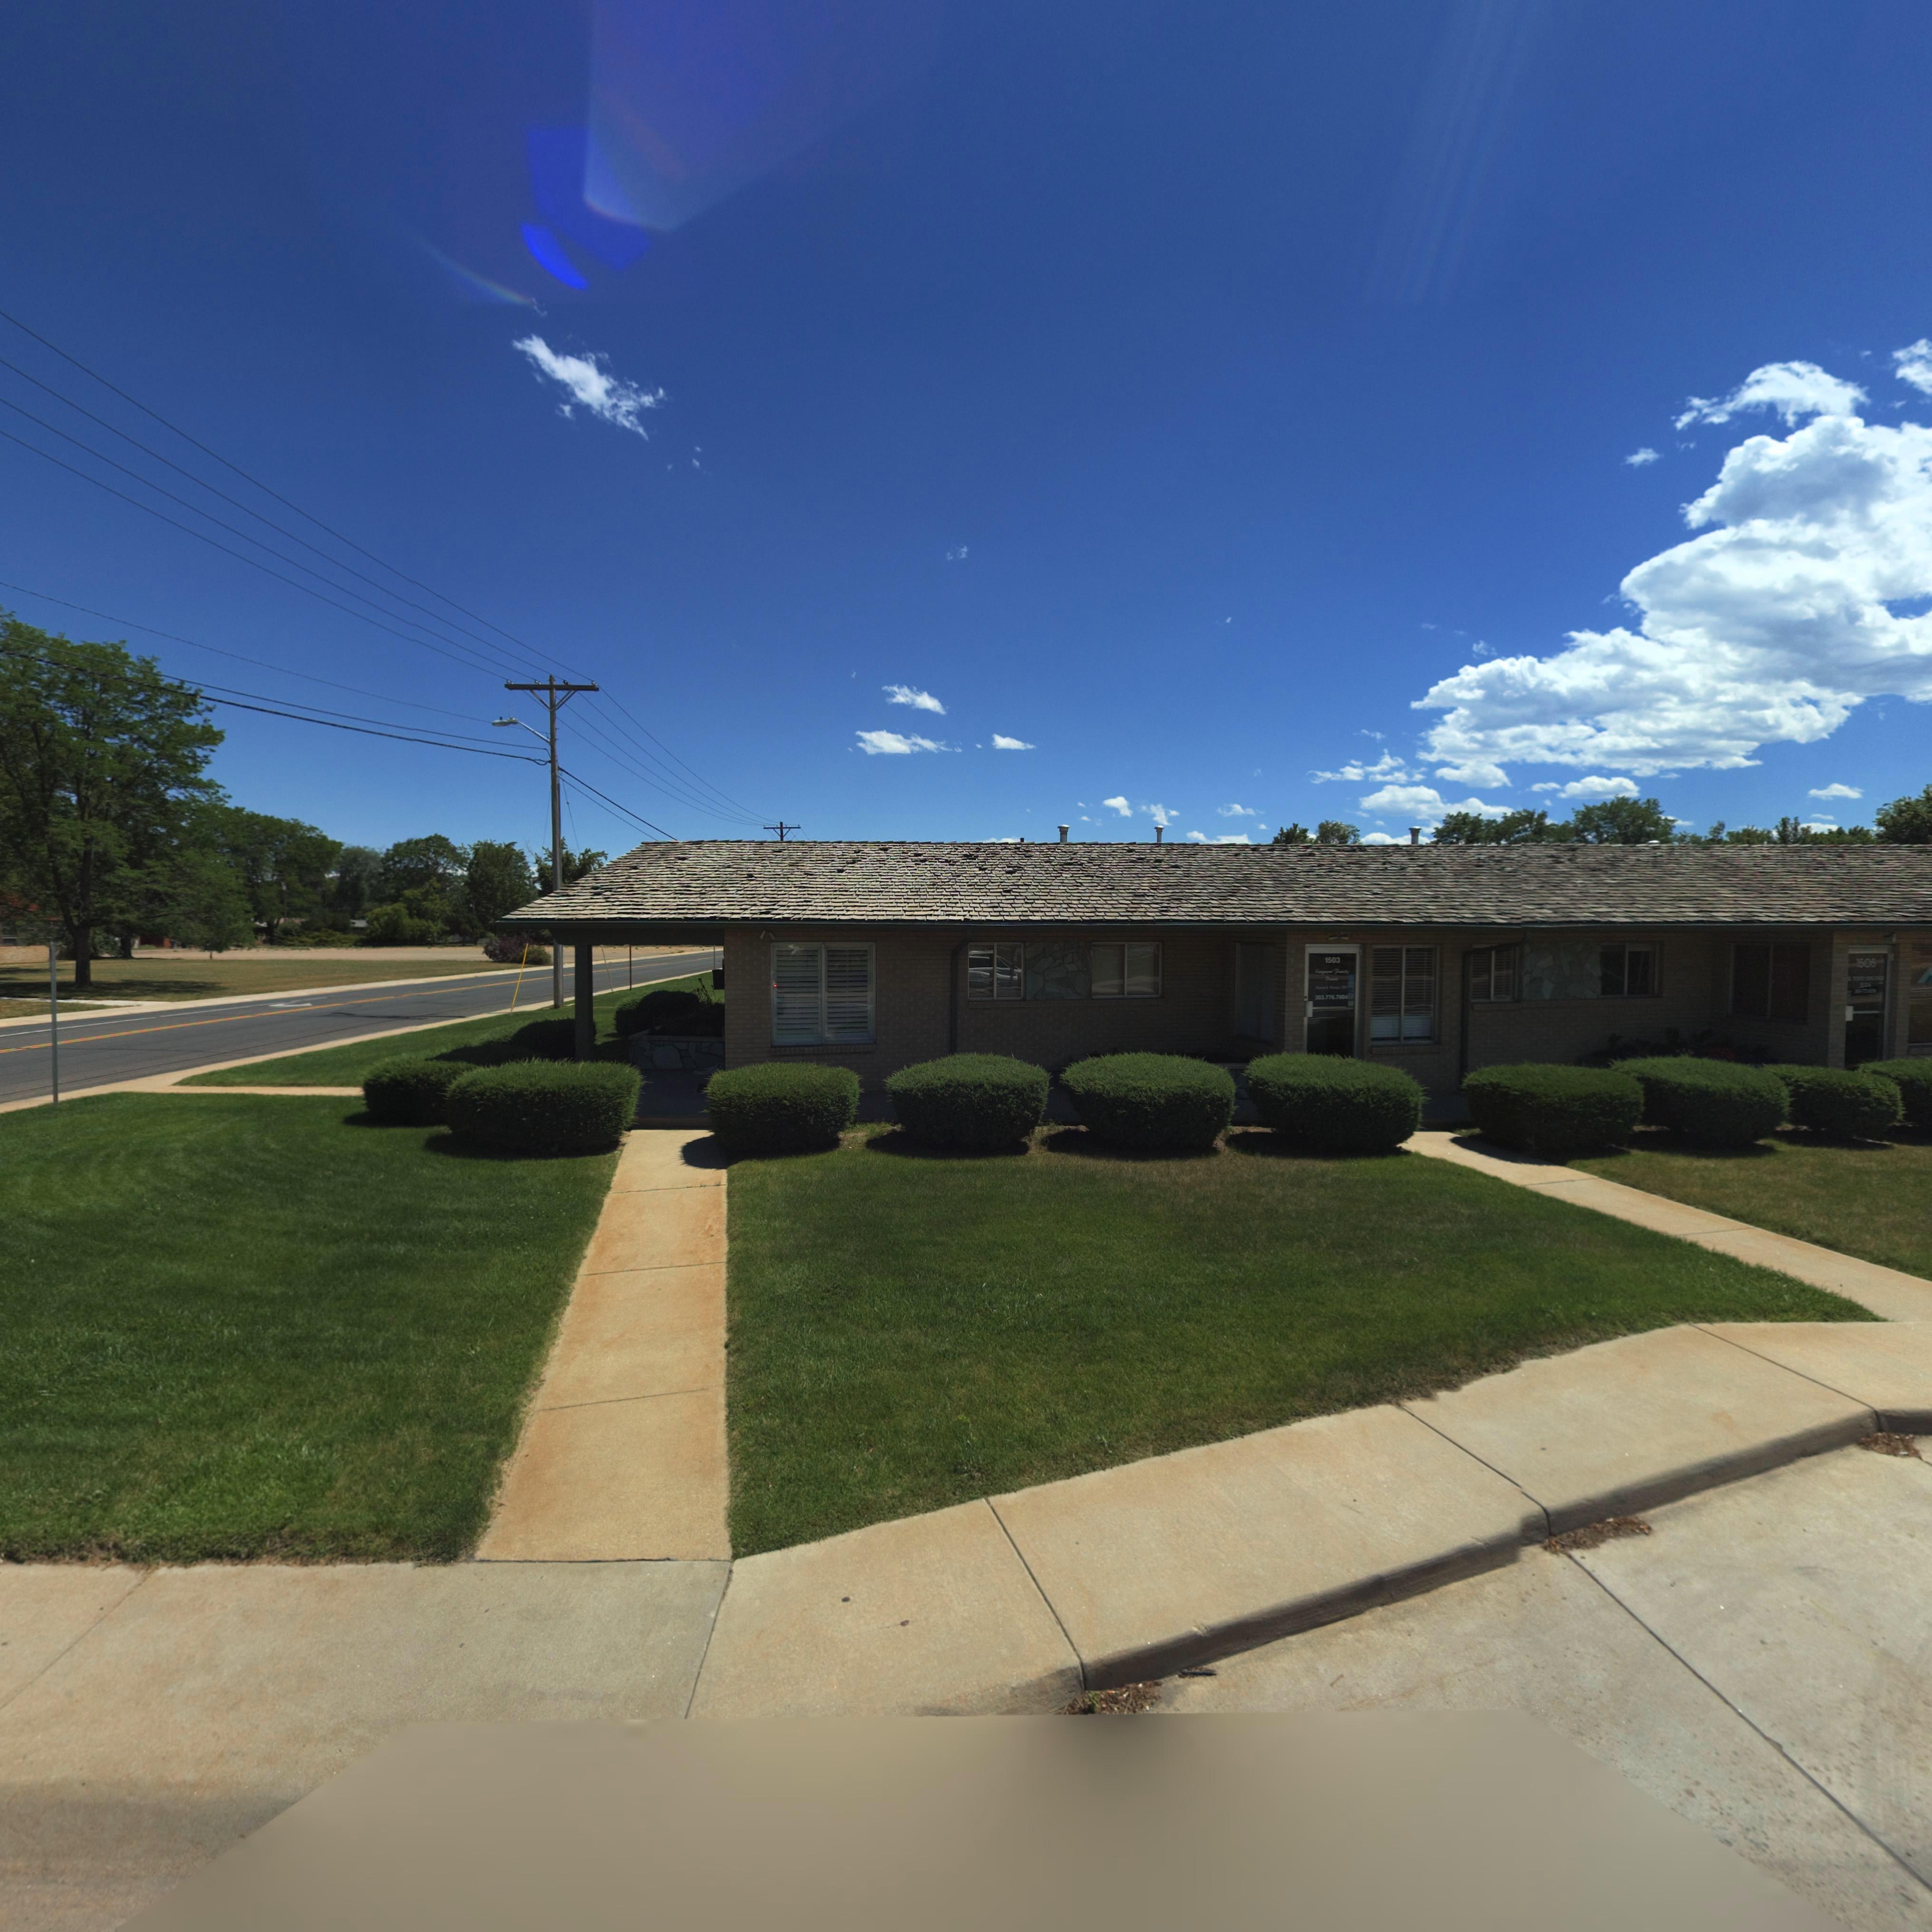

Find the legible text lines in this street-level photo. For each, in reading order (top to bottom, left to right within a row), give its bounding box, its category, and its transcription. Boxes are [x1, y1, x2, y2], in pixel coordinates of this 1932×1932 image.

[1323, 956, 1341, 964] StreetNumber: 1503
[1855, 957, 1877, 968] StreetNumber: 1505
[1314, 968, 1349, 975] BusinessName: Longmont Family
[1324, 976, 1339, 980] BusinessName: Dentist